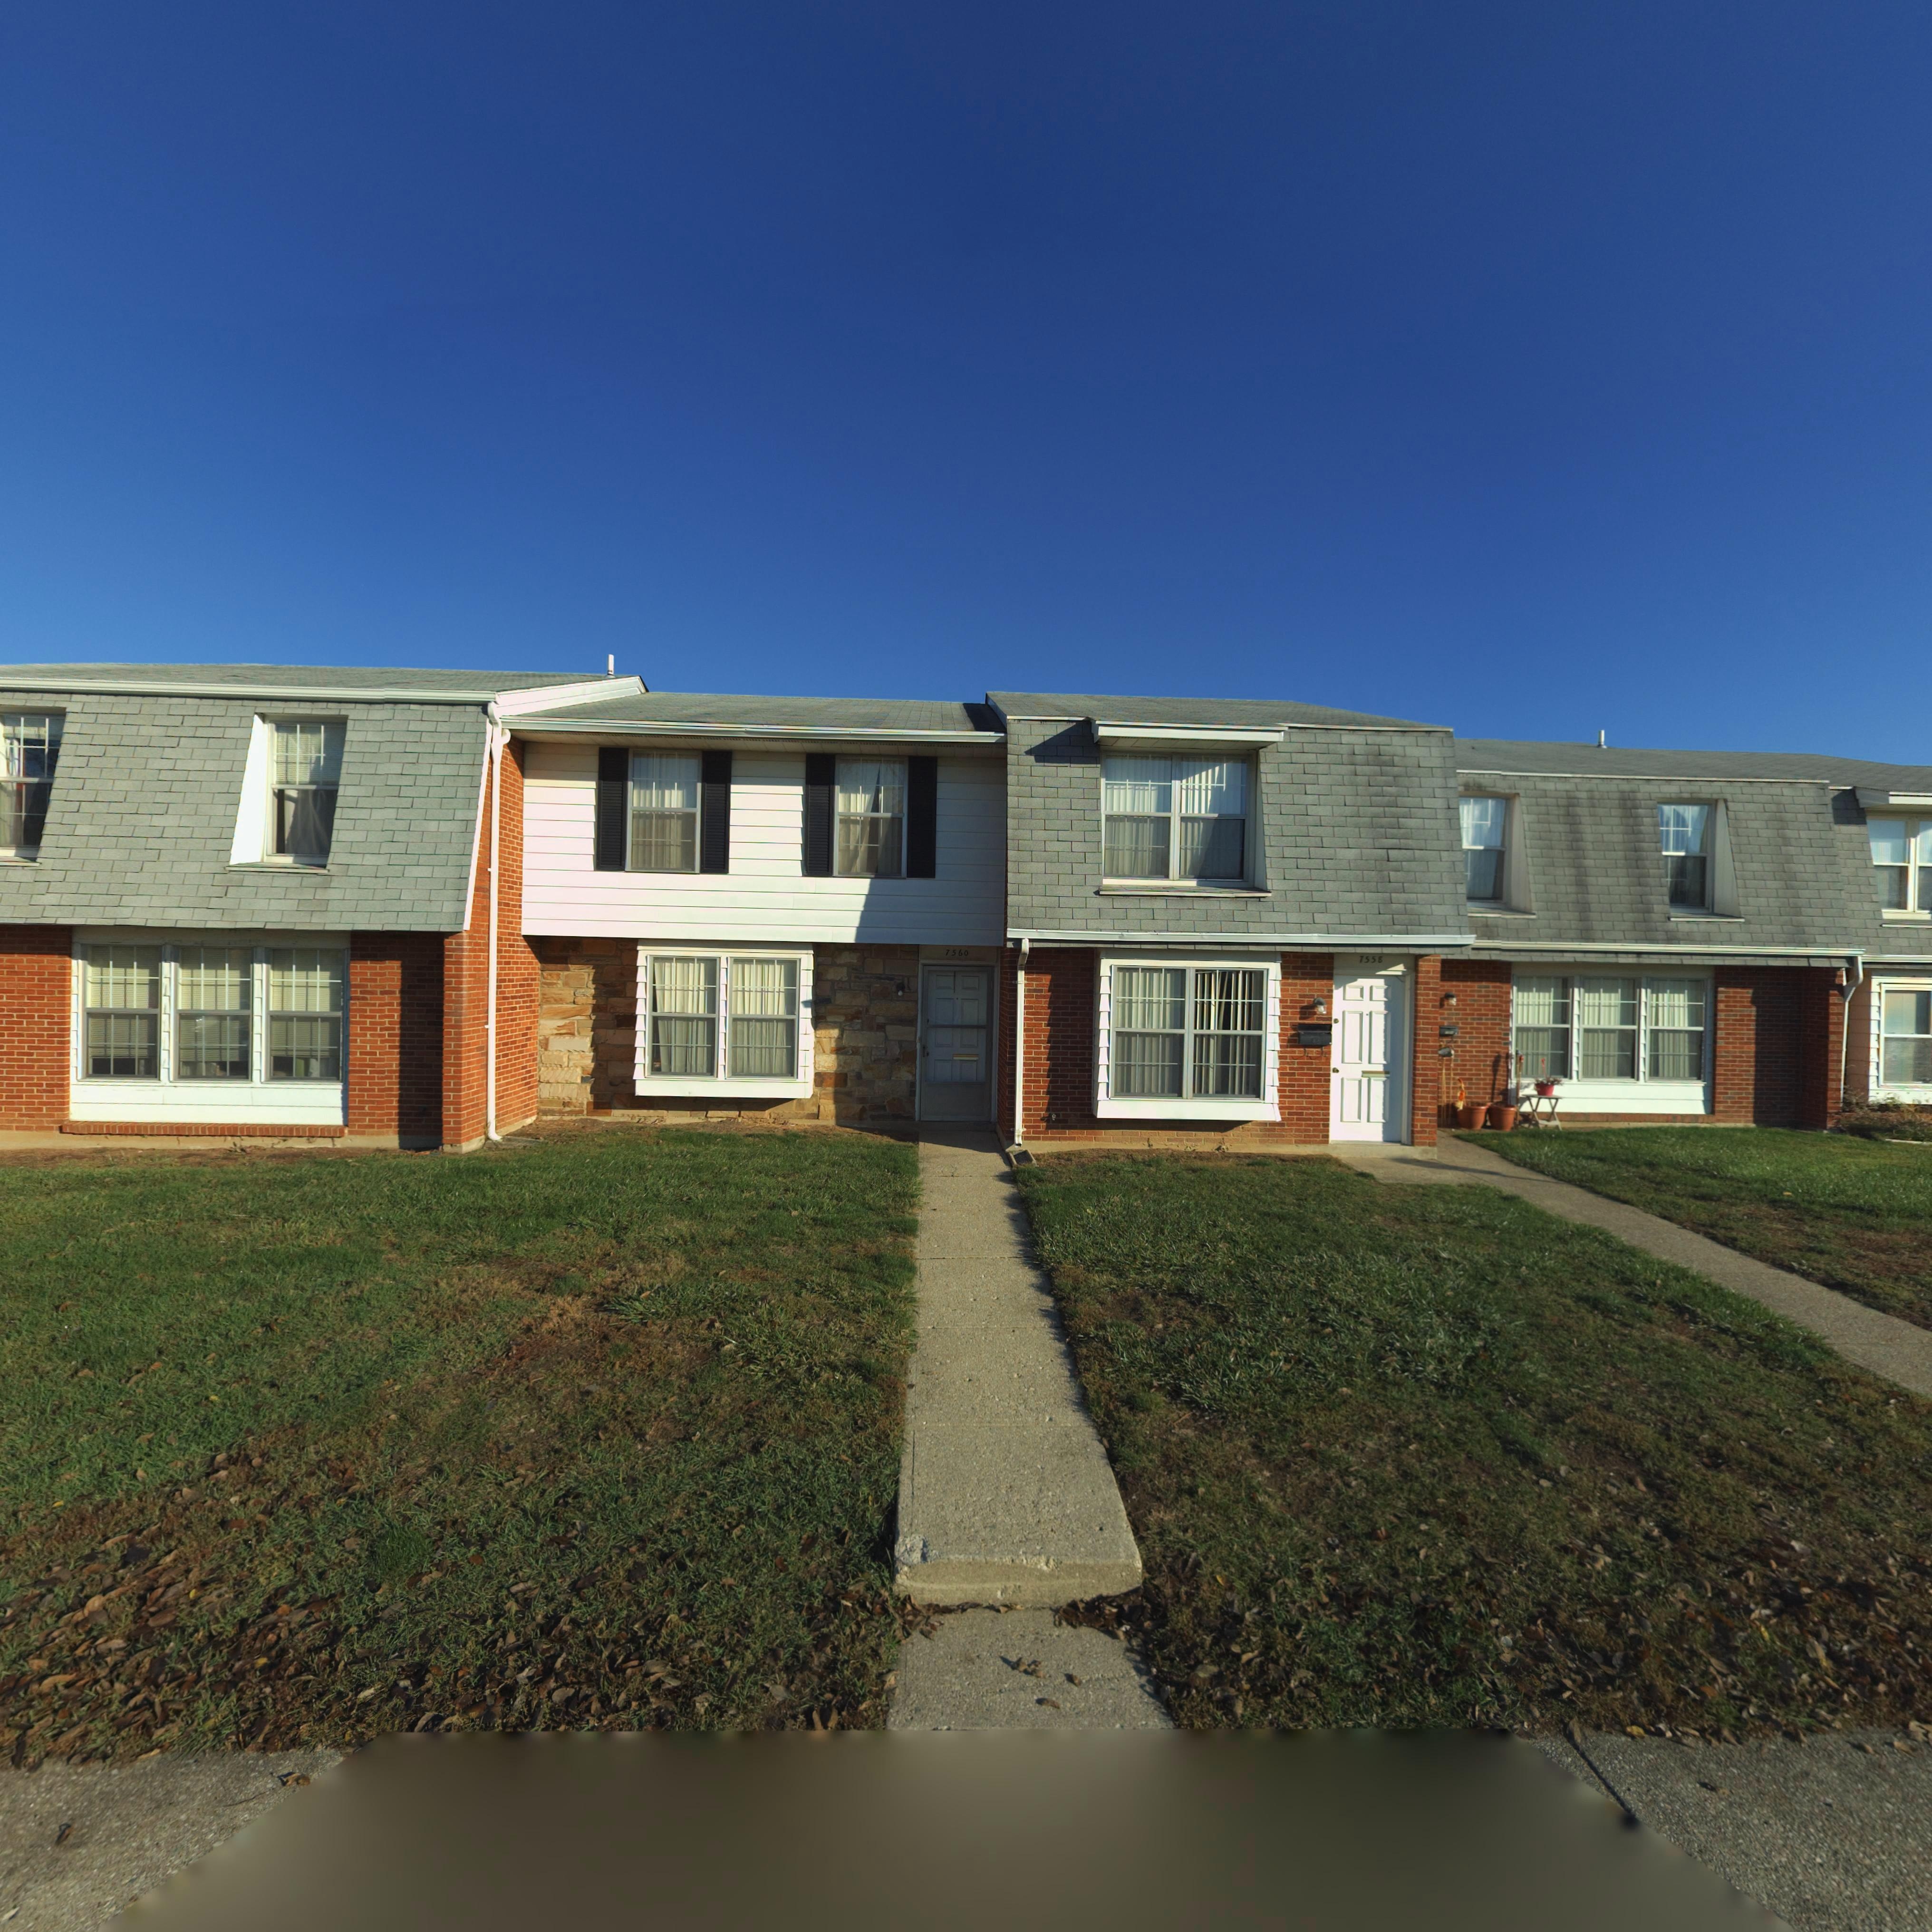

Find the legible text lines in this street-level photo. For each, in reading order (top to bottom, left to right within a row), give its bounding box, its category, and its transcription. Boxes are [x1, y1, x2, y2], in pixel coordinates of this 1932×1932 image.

[945, 948, 969, 957] StreetNumber: 7560
[1358, 955, 1384, 965] StreetNumber: 7558